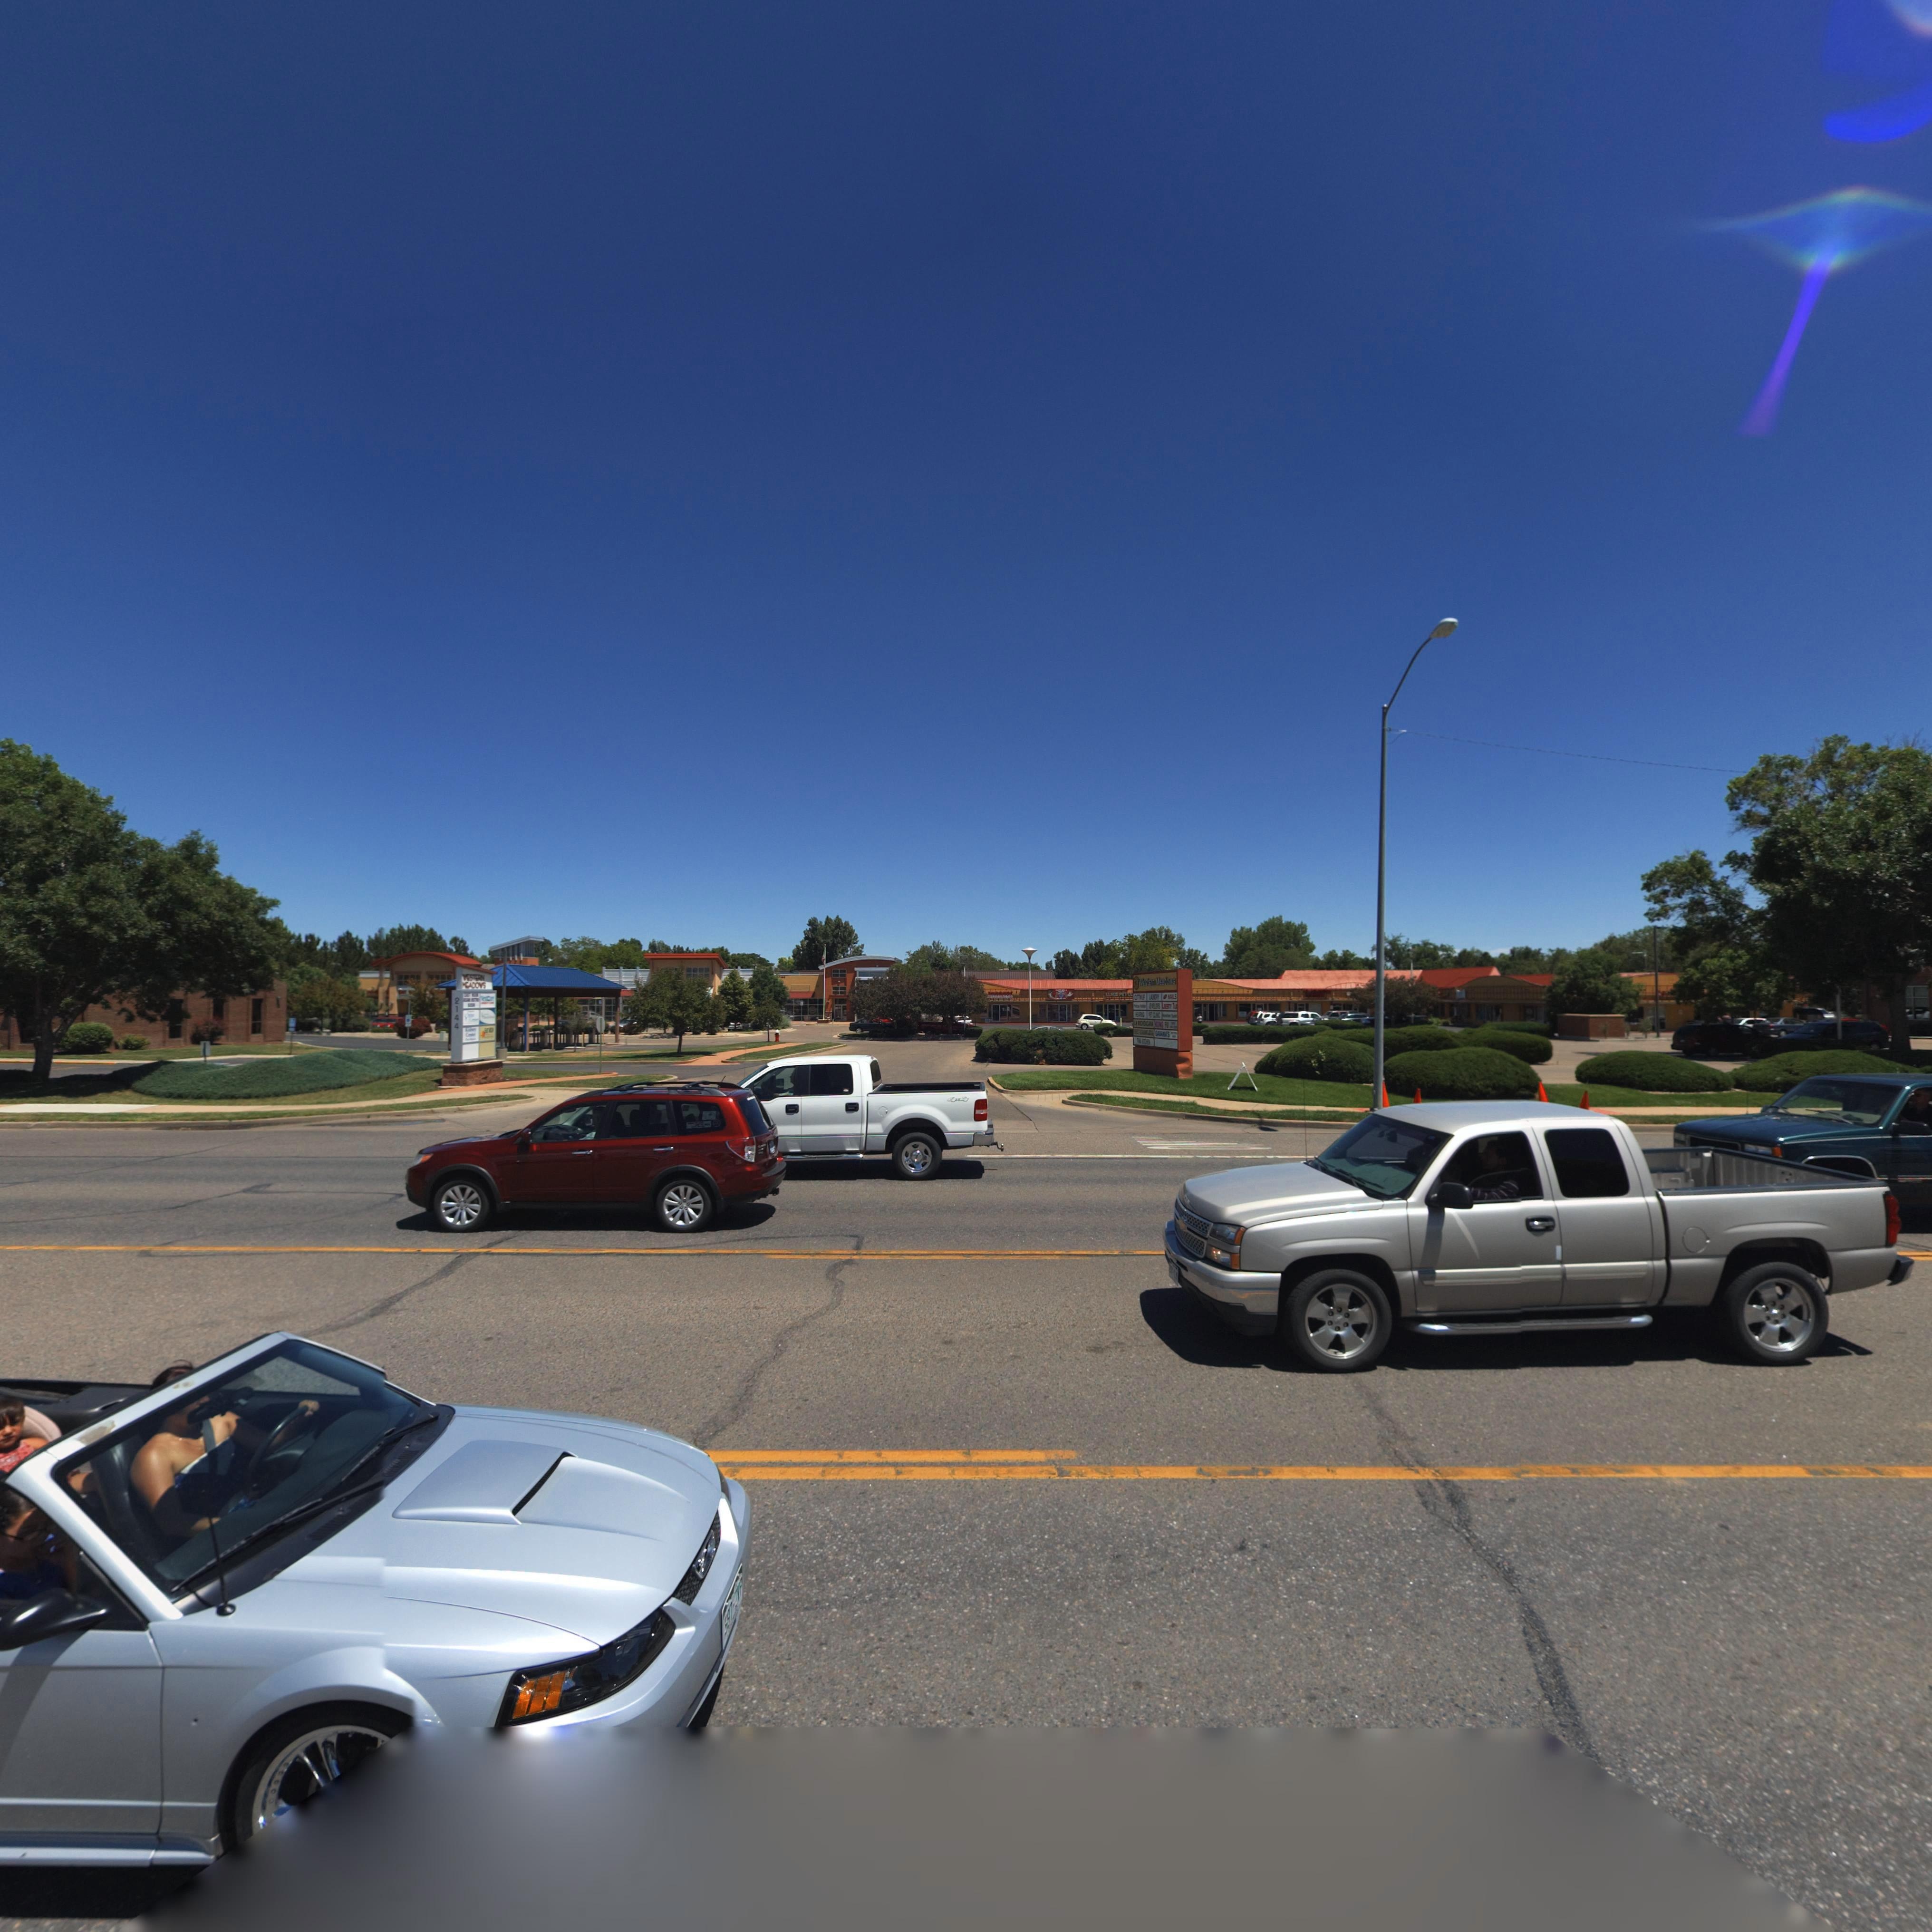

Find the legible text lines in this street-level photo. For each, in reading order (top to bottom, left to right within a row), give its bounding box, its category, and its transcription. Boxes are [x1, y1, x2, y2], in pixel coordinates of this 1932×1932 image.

[454, 997, 459, 1030] StreetNumber: 2144
[1162, 1002, 1177, 1009] BusinessName: L**ERTY T**